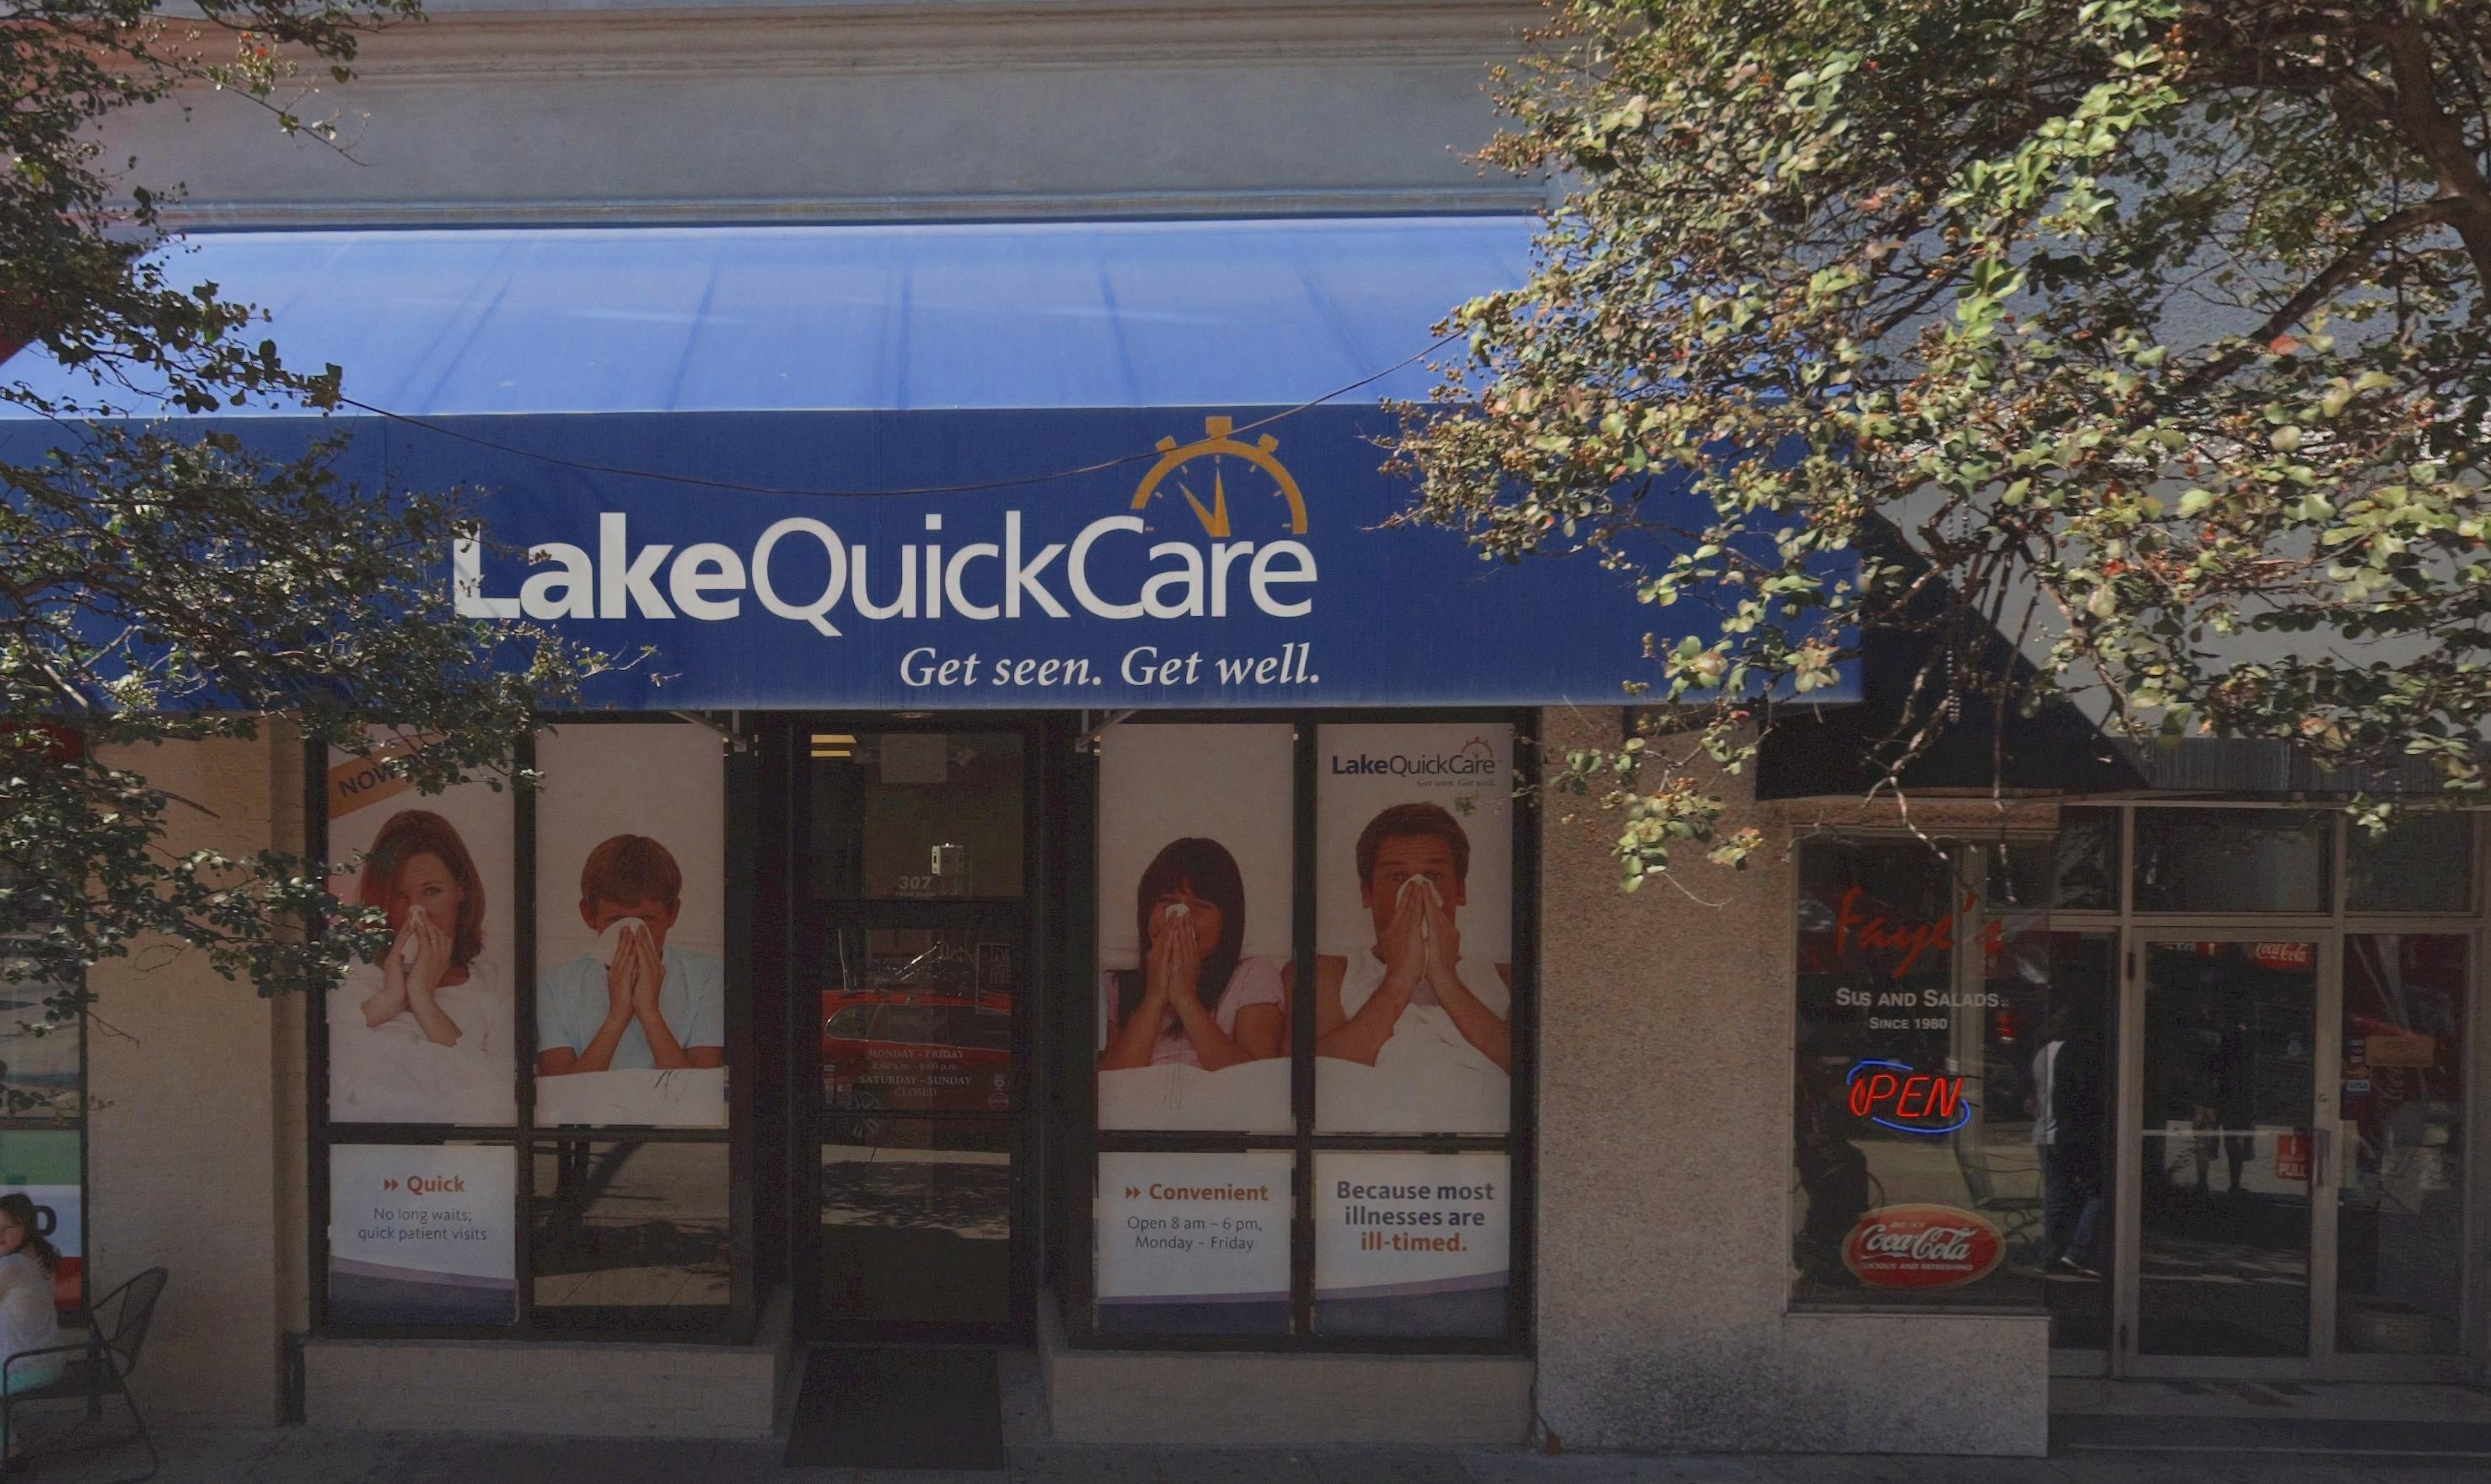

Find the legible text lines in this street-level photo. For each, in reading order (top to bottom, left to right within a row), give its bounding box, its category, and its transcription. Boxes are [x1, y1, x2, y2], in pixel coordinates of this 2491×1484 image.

[447, 505, 1324, 642] BusinessName: LakeQuickCare
[895, 638, 1325, 694] None: Get seen. Get well.
[1330, 752, 1498, 780] BusinessName: LakeQuickCare
[334, 767, 379, 802] None: NO
[895, 873, 937, 892] StreetNumber: 307
[1829, 880, 2030, 988] BusinessName: Faye's
[1832, 985, 2002, 1010] None: Sus AND SALADS
[1866, 1015, 1950, 1032] None: SINCE 1980
[870, 1059, 962, 1073] None: 8:00 a.m.-6:00 p.m.
[866, 1047, 968, 1061] None: MONDAY-FRIDAY
[857, 1074, 974, 1087] None: SATURDAY-SUNDAY
[893, 1085, 939, 1099] None: CLOSED
[1858, 1071, 1967, 1121] None: PEN
[405, 1172, 468, 1198] None: Quick
[1146, 1181, 1271, 1203] None: Convenient
[1334, 1178, 1499, 1204] None: Because most
[356, 1225, 490, 1244] None: quick patient visits'
[373, 1205, 475, 1226] None: No long waits:
[1125, 1213, 1264, 1235] None: Open 8 am-6 pm,
[1133, 1233, 1258, 1256] None: Monday-Friday
[1358, 1229, 1470, 1254] None: ill-timed.
[1343, 1203, 1487, 1229] None: illnesses are
[1861, 1224, 1977, 1264] None: oca Cola